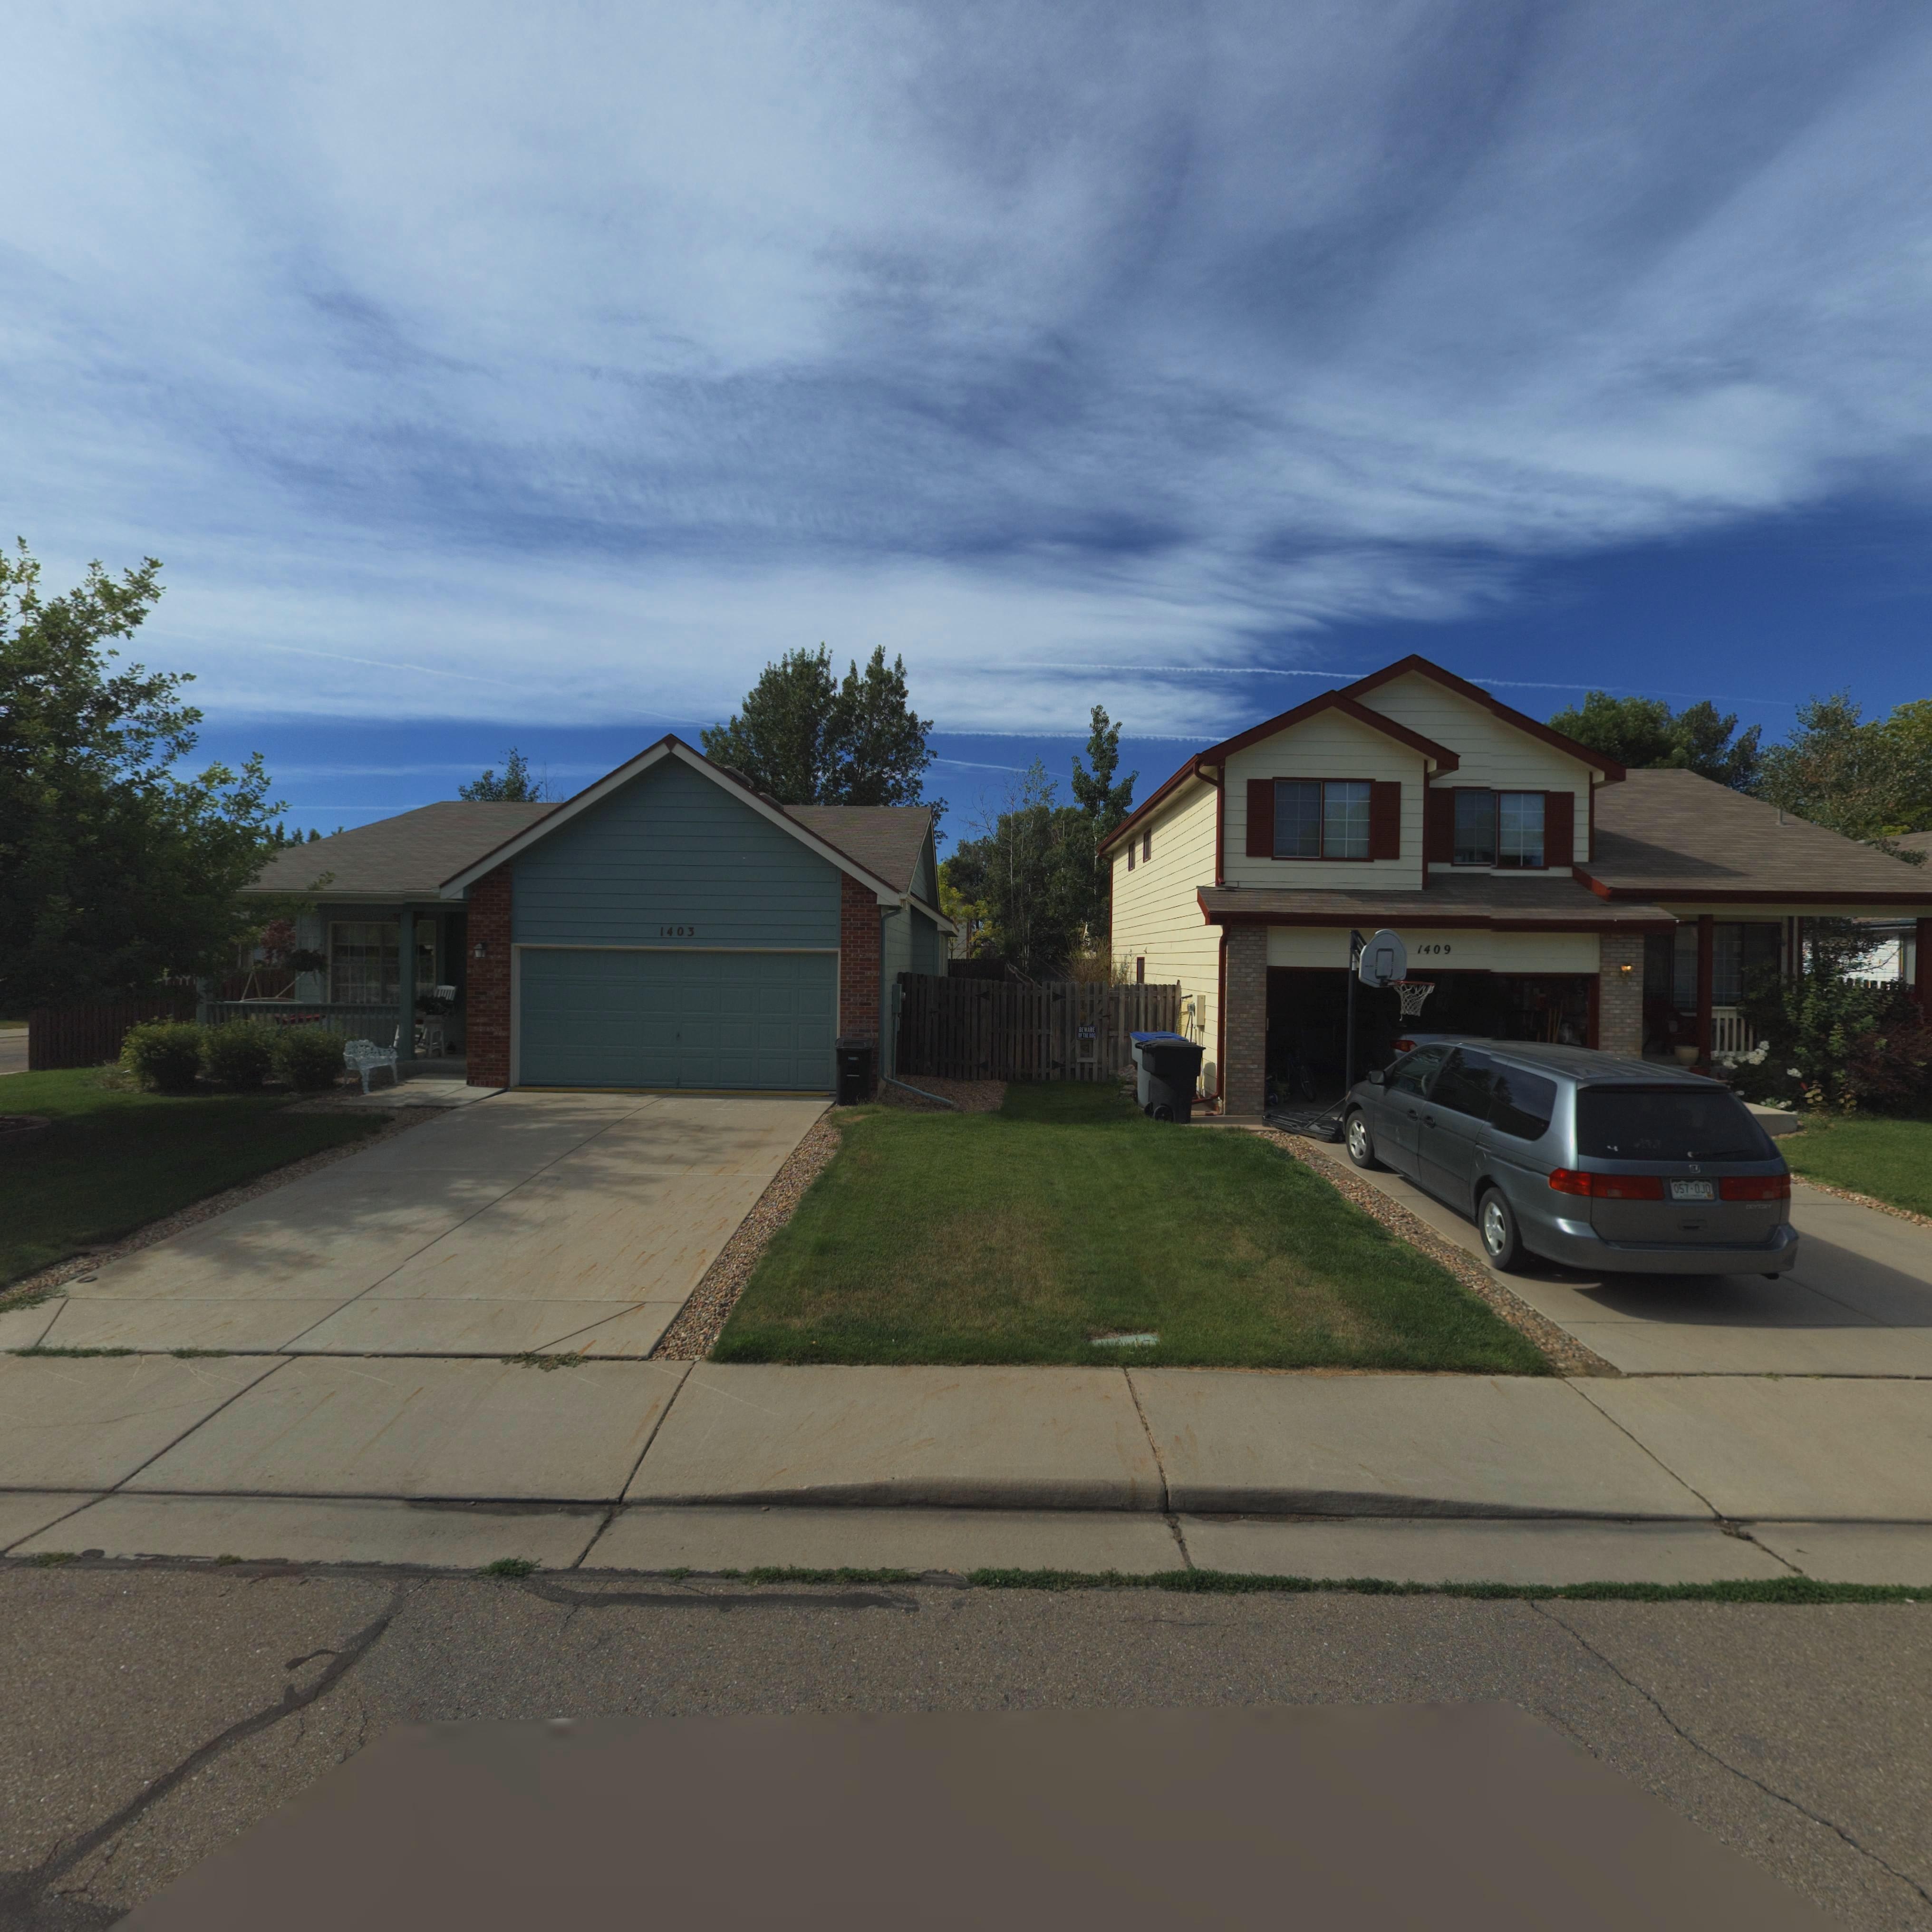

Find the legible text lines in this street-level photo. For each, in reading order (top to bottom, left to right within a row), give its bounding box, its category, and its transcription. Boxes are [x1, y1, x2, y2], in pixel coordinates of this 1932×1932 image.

[659, 926, 696, 937] StreetNumber: 1403
[1416, 944, 1450, 954] StreetNumber: 1409